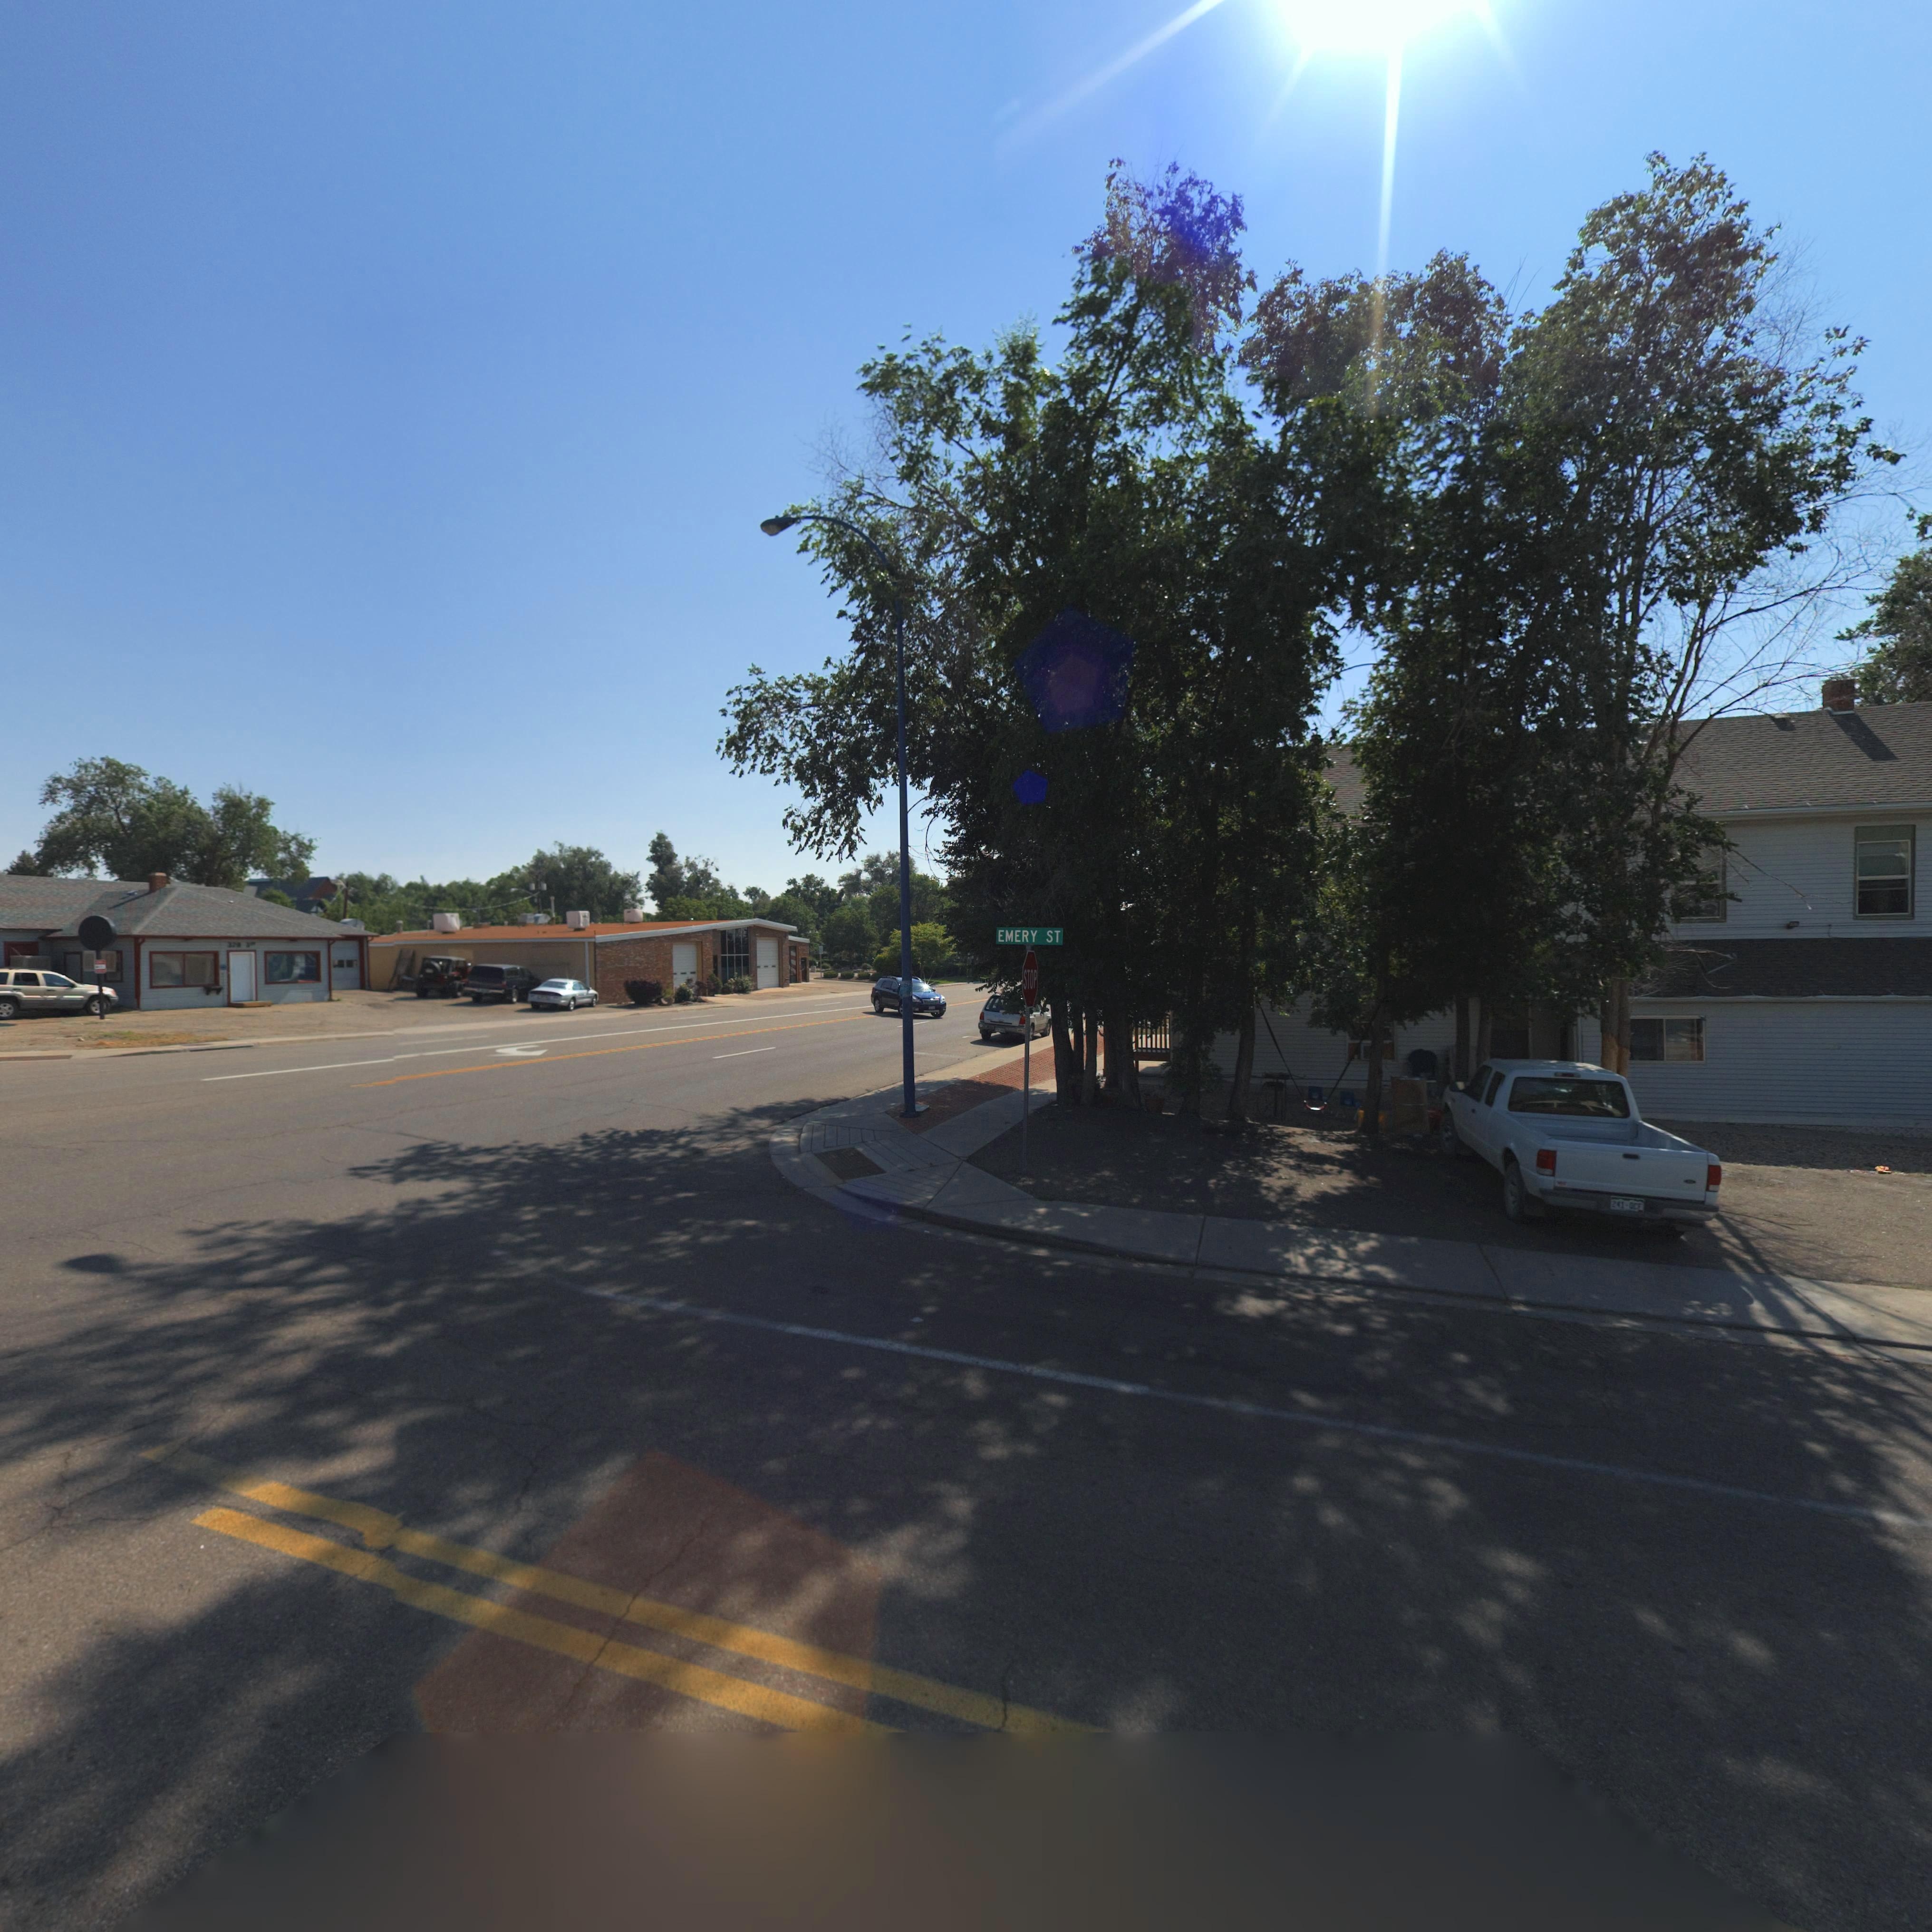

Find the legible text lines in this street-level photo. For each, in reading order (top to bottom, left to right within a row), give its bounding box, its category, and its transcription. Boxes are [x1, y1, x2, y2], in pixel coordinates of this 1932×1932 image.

[998, 929, 1061, 943] StreetName: EMERY ST
[227, 941, 241, 947] StreetNumber: 32*